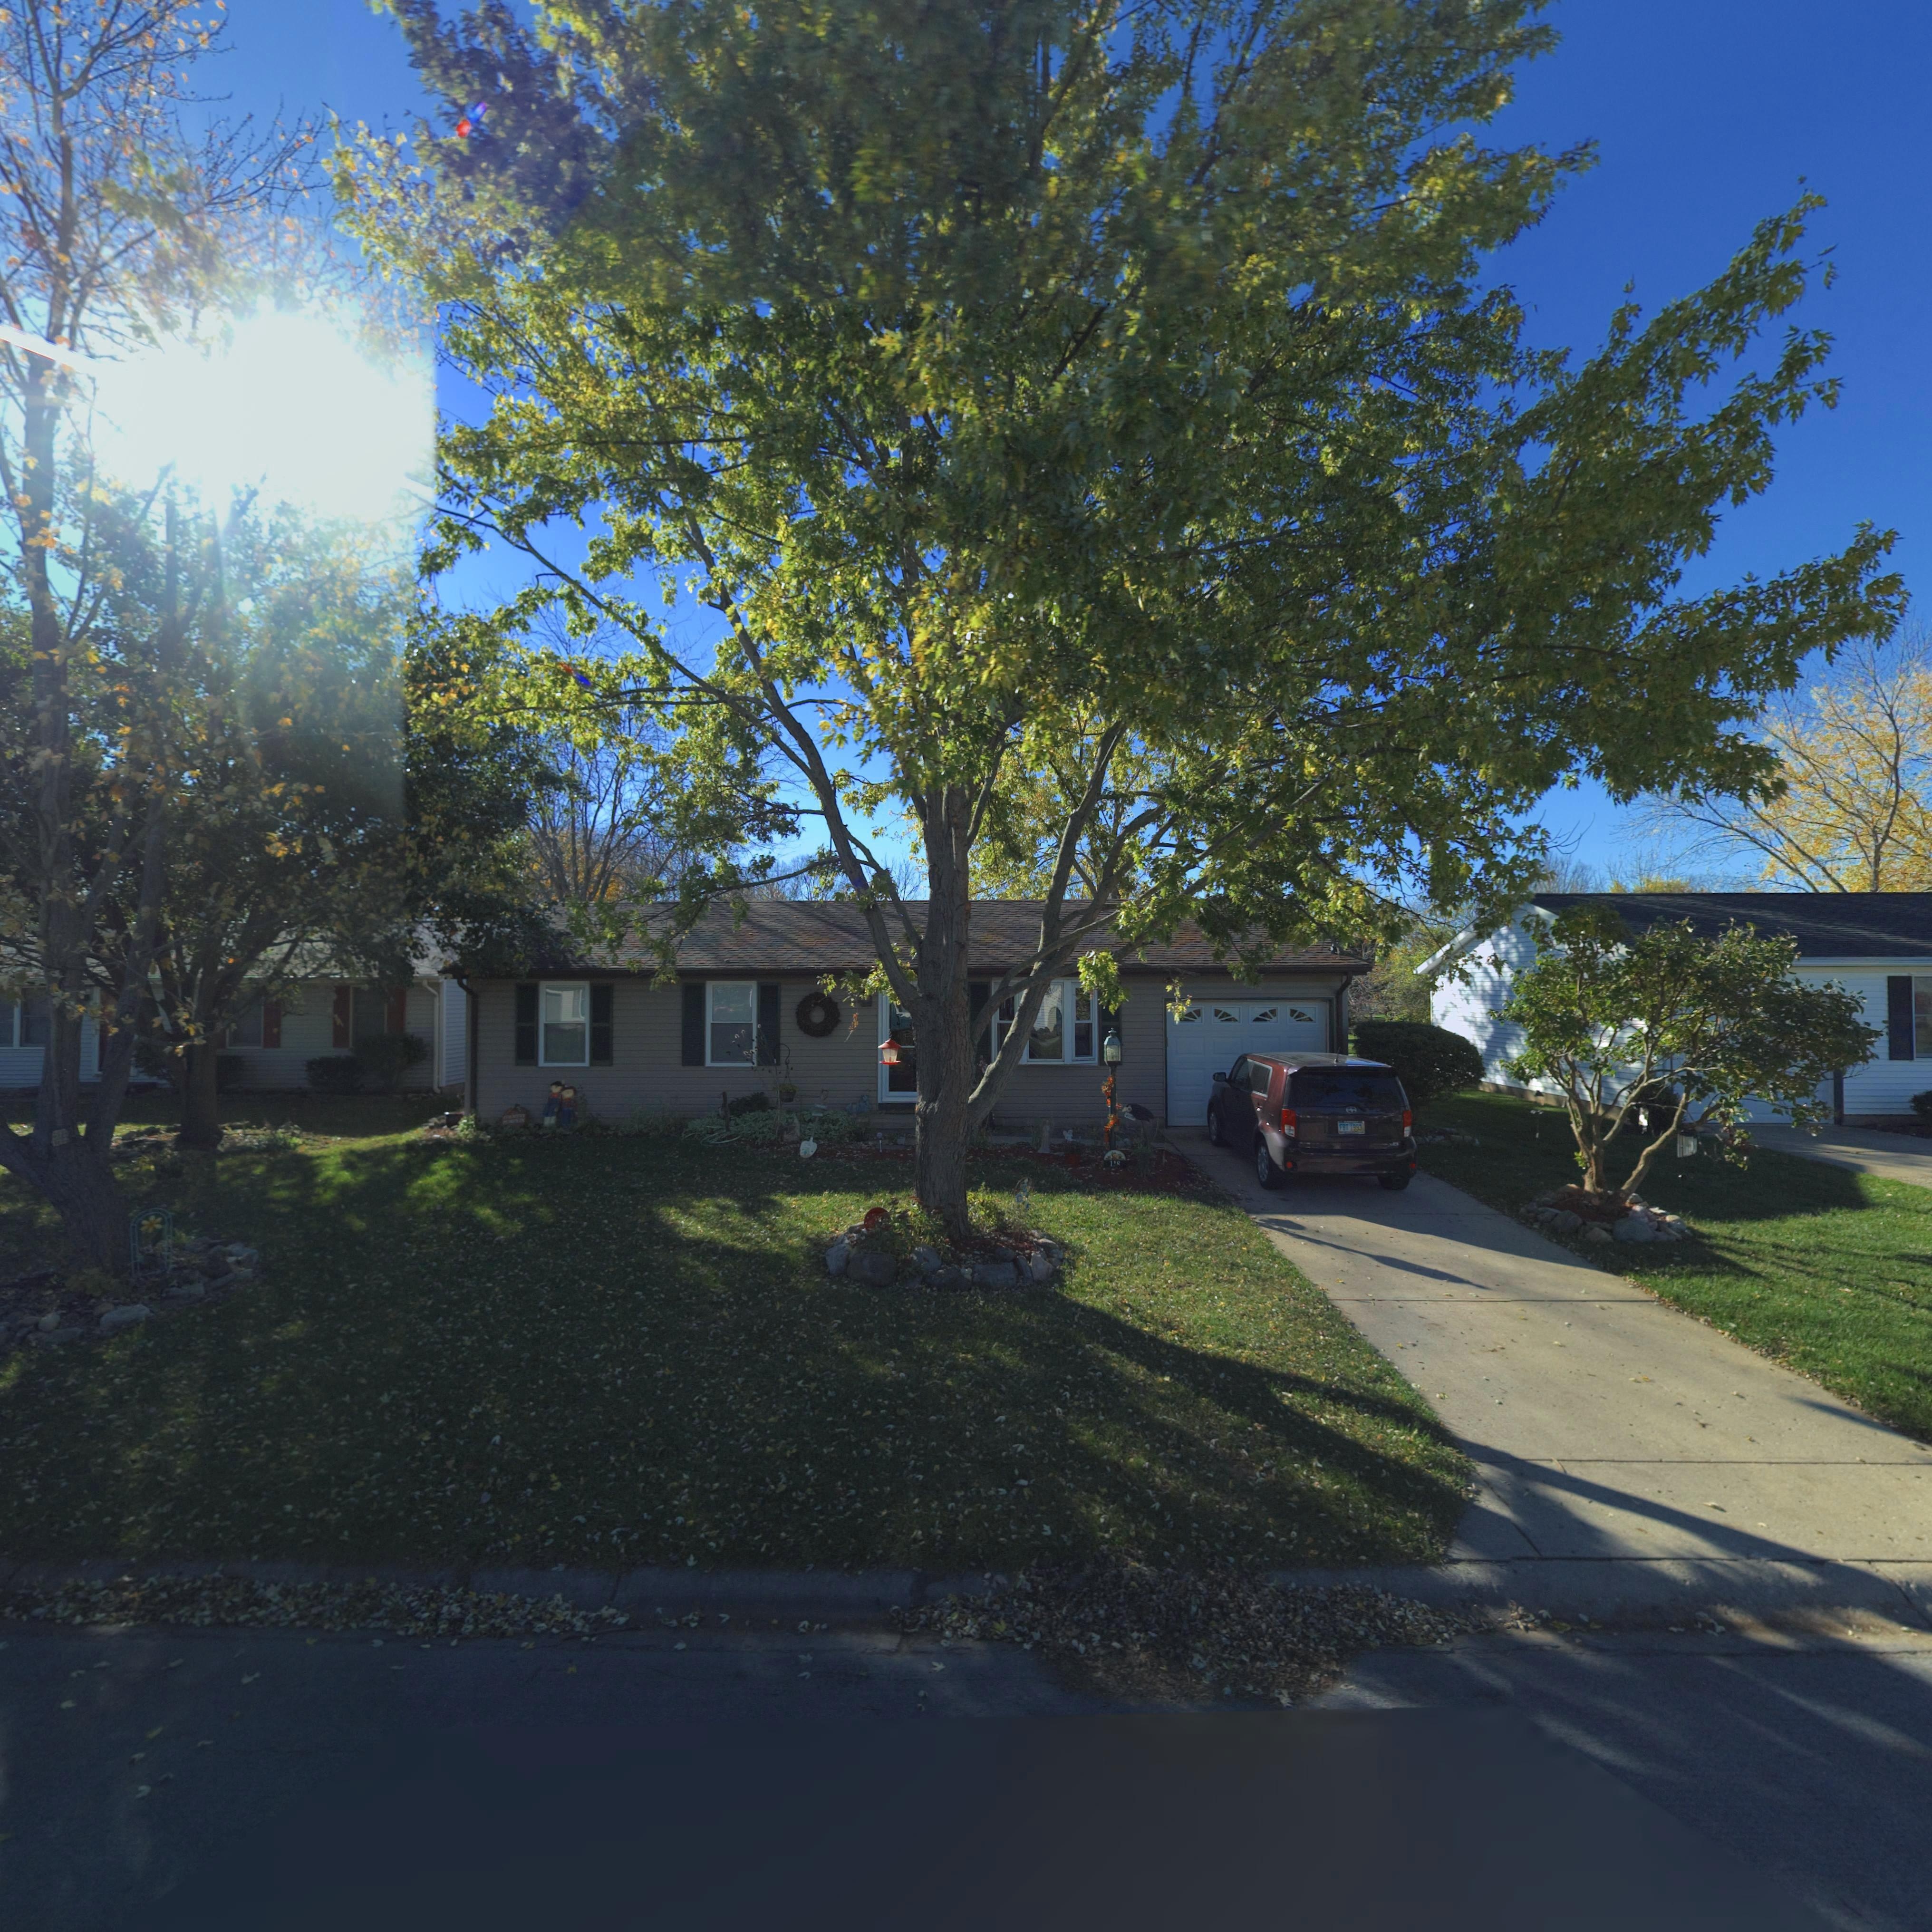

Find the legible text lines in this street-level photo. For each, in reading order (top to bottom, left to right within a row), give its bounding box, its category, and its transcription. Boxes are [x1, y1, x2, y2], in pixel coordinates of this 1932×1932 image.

[1110, 1160, 1113, 1167] StreetNumber: 1